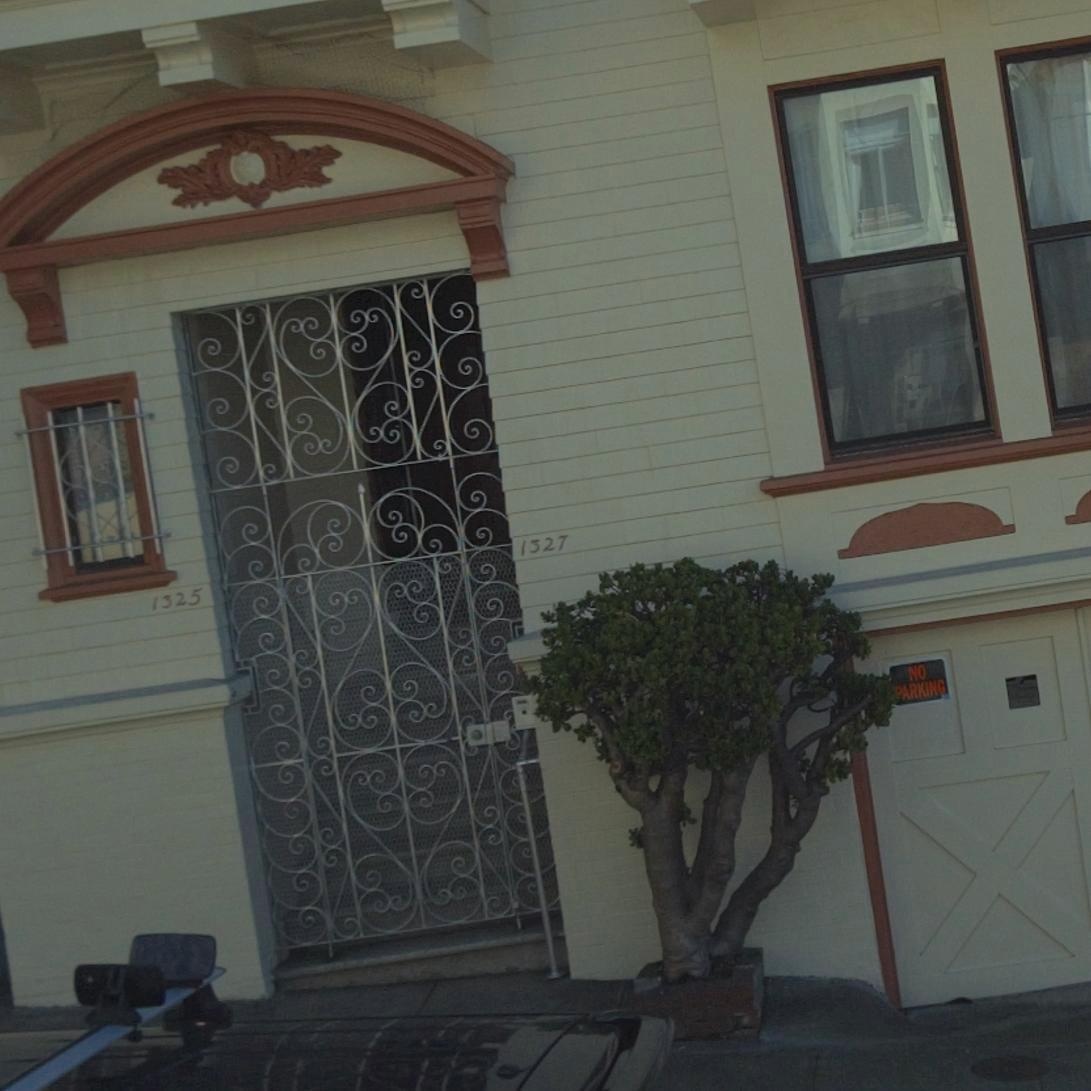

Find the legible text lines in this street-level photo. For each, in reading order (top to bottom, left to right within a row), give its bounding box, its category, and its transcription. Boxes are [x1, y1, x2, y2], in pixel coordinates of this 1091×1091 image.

[519, 533, 571, 558] StreetNumber: 1327
[151, 585, 205, 613] StreetNumber: 1325
[906, 662, 930, 683] None: NO
[901, 677, 948, 701] None: ARKING